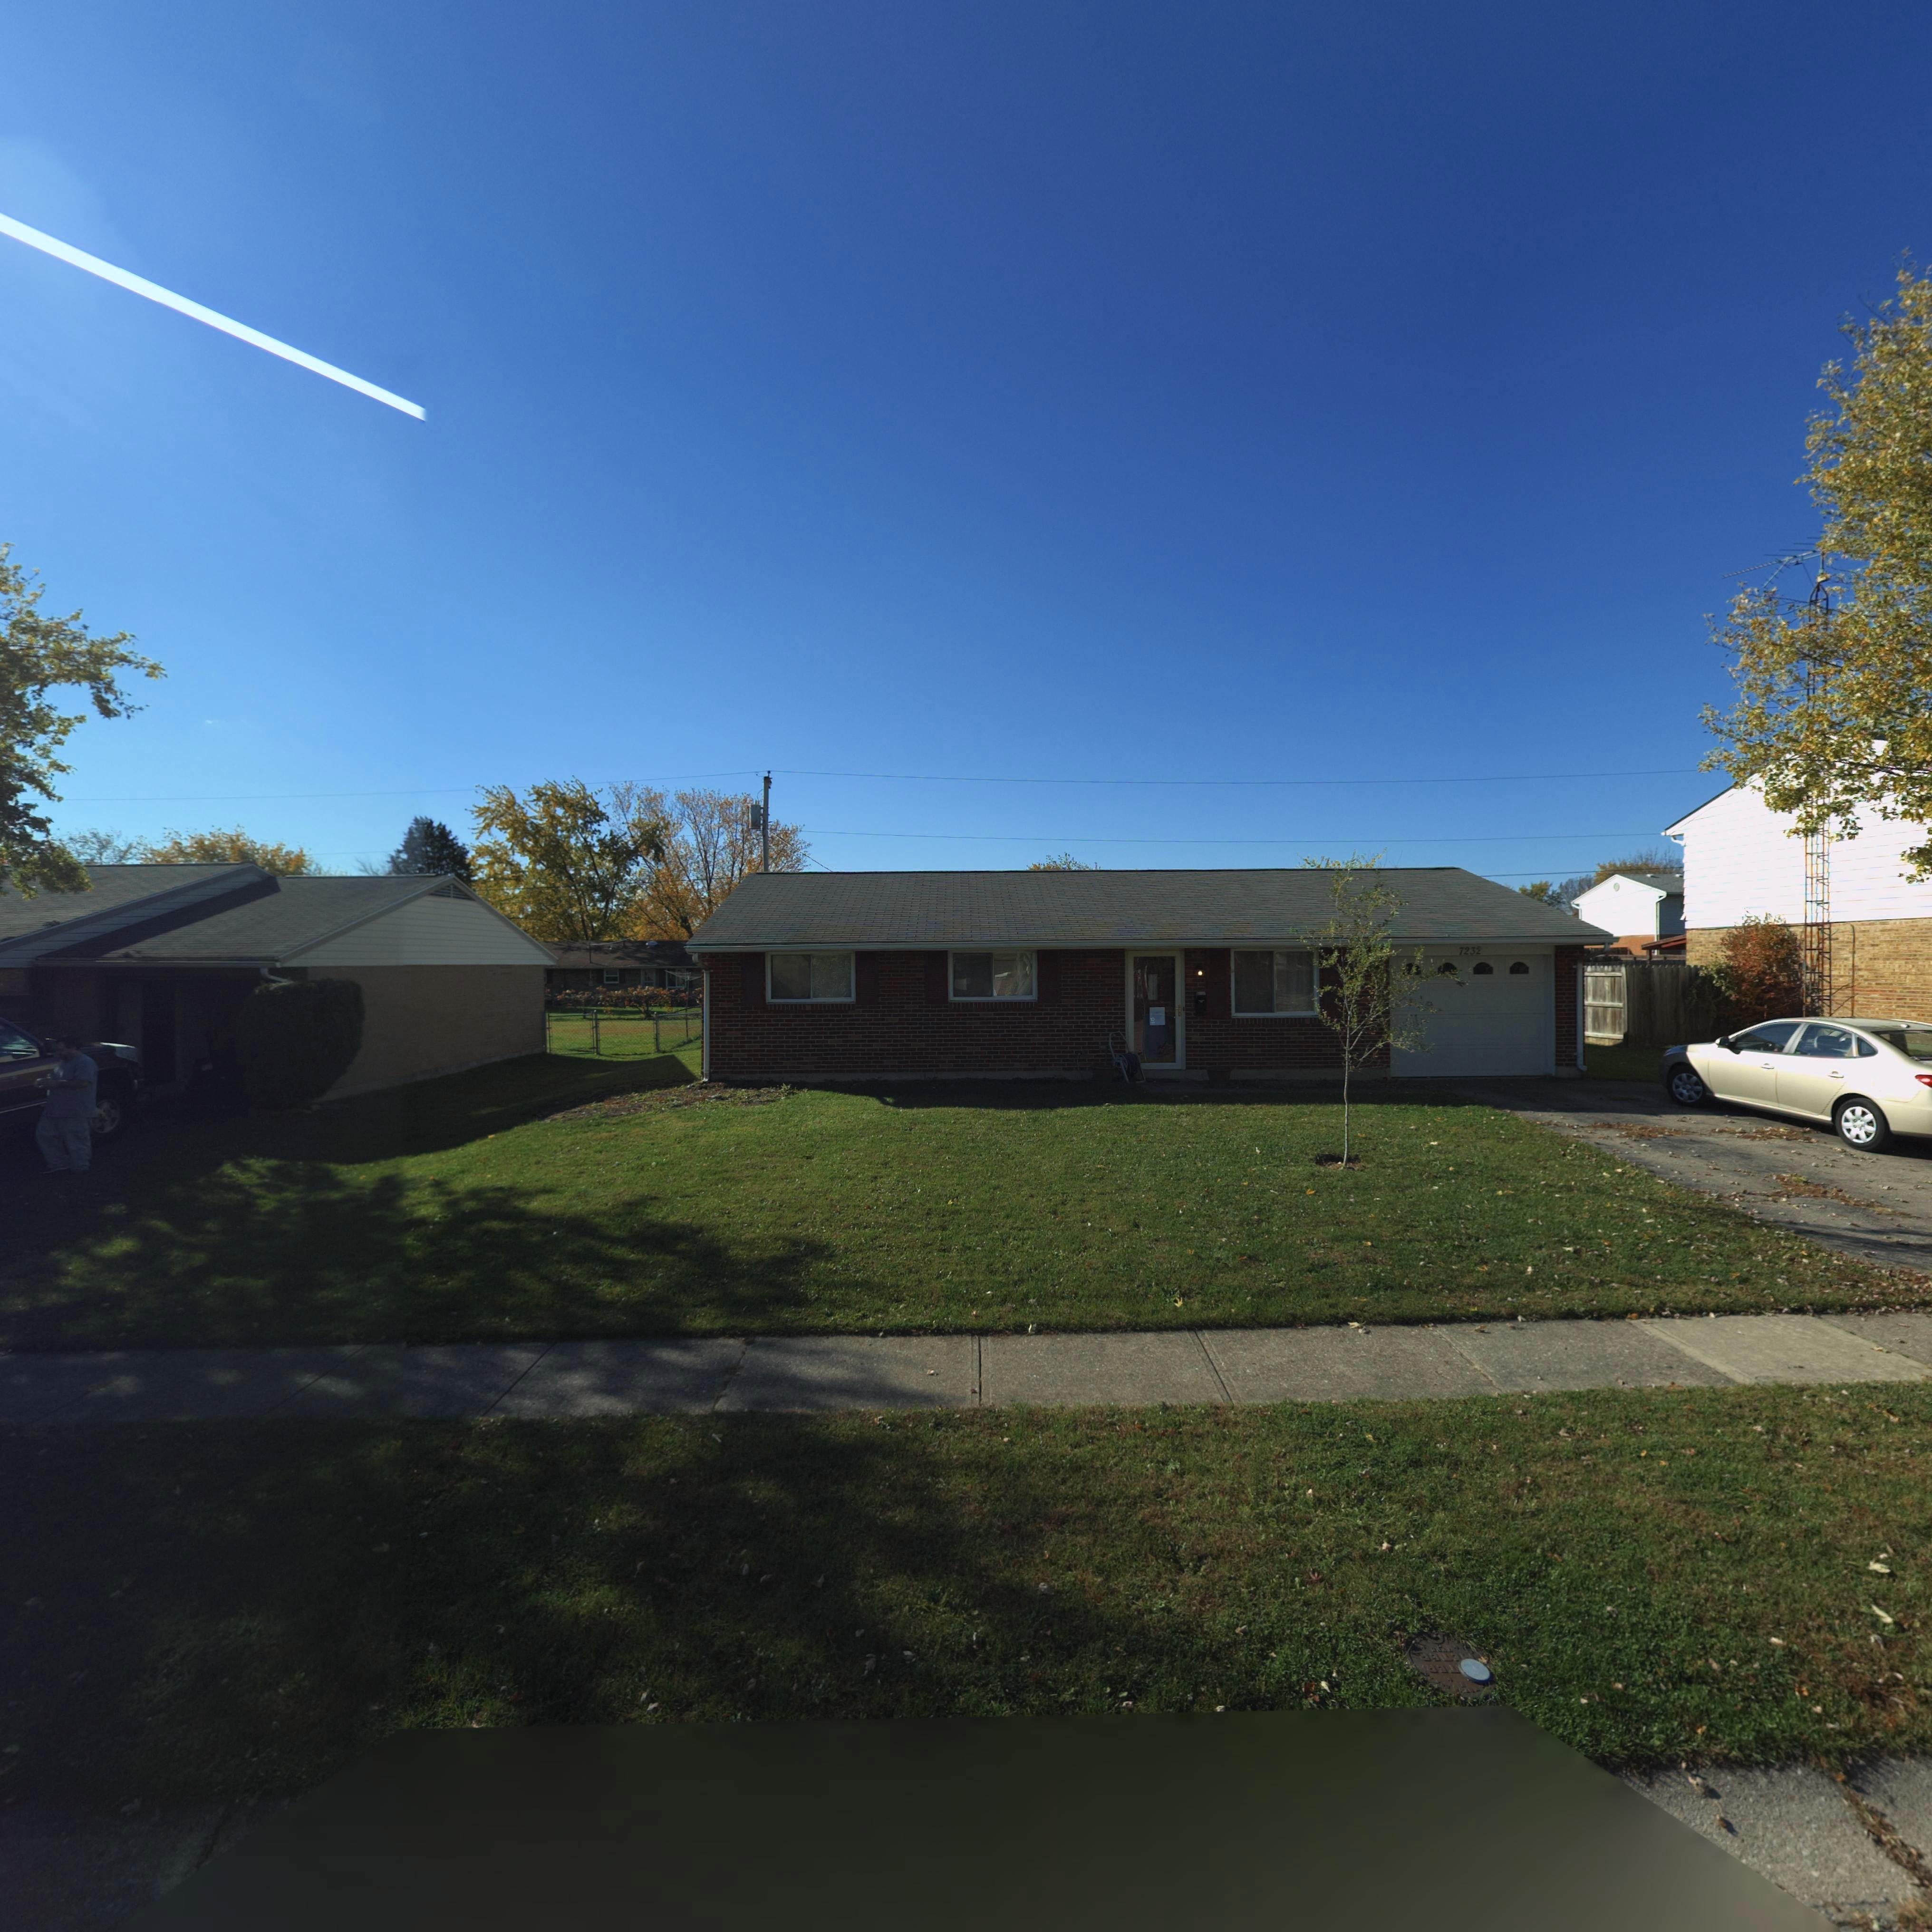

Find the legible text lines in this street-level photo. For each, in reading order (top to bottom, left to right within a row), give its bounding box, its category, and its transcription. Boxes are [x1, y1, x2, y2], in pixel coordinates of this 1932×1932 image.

[1458, 946, 1482, 956] StreetNumber: 723*